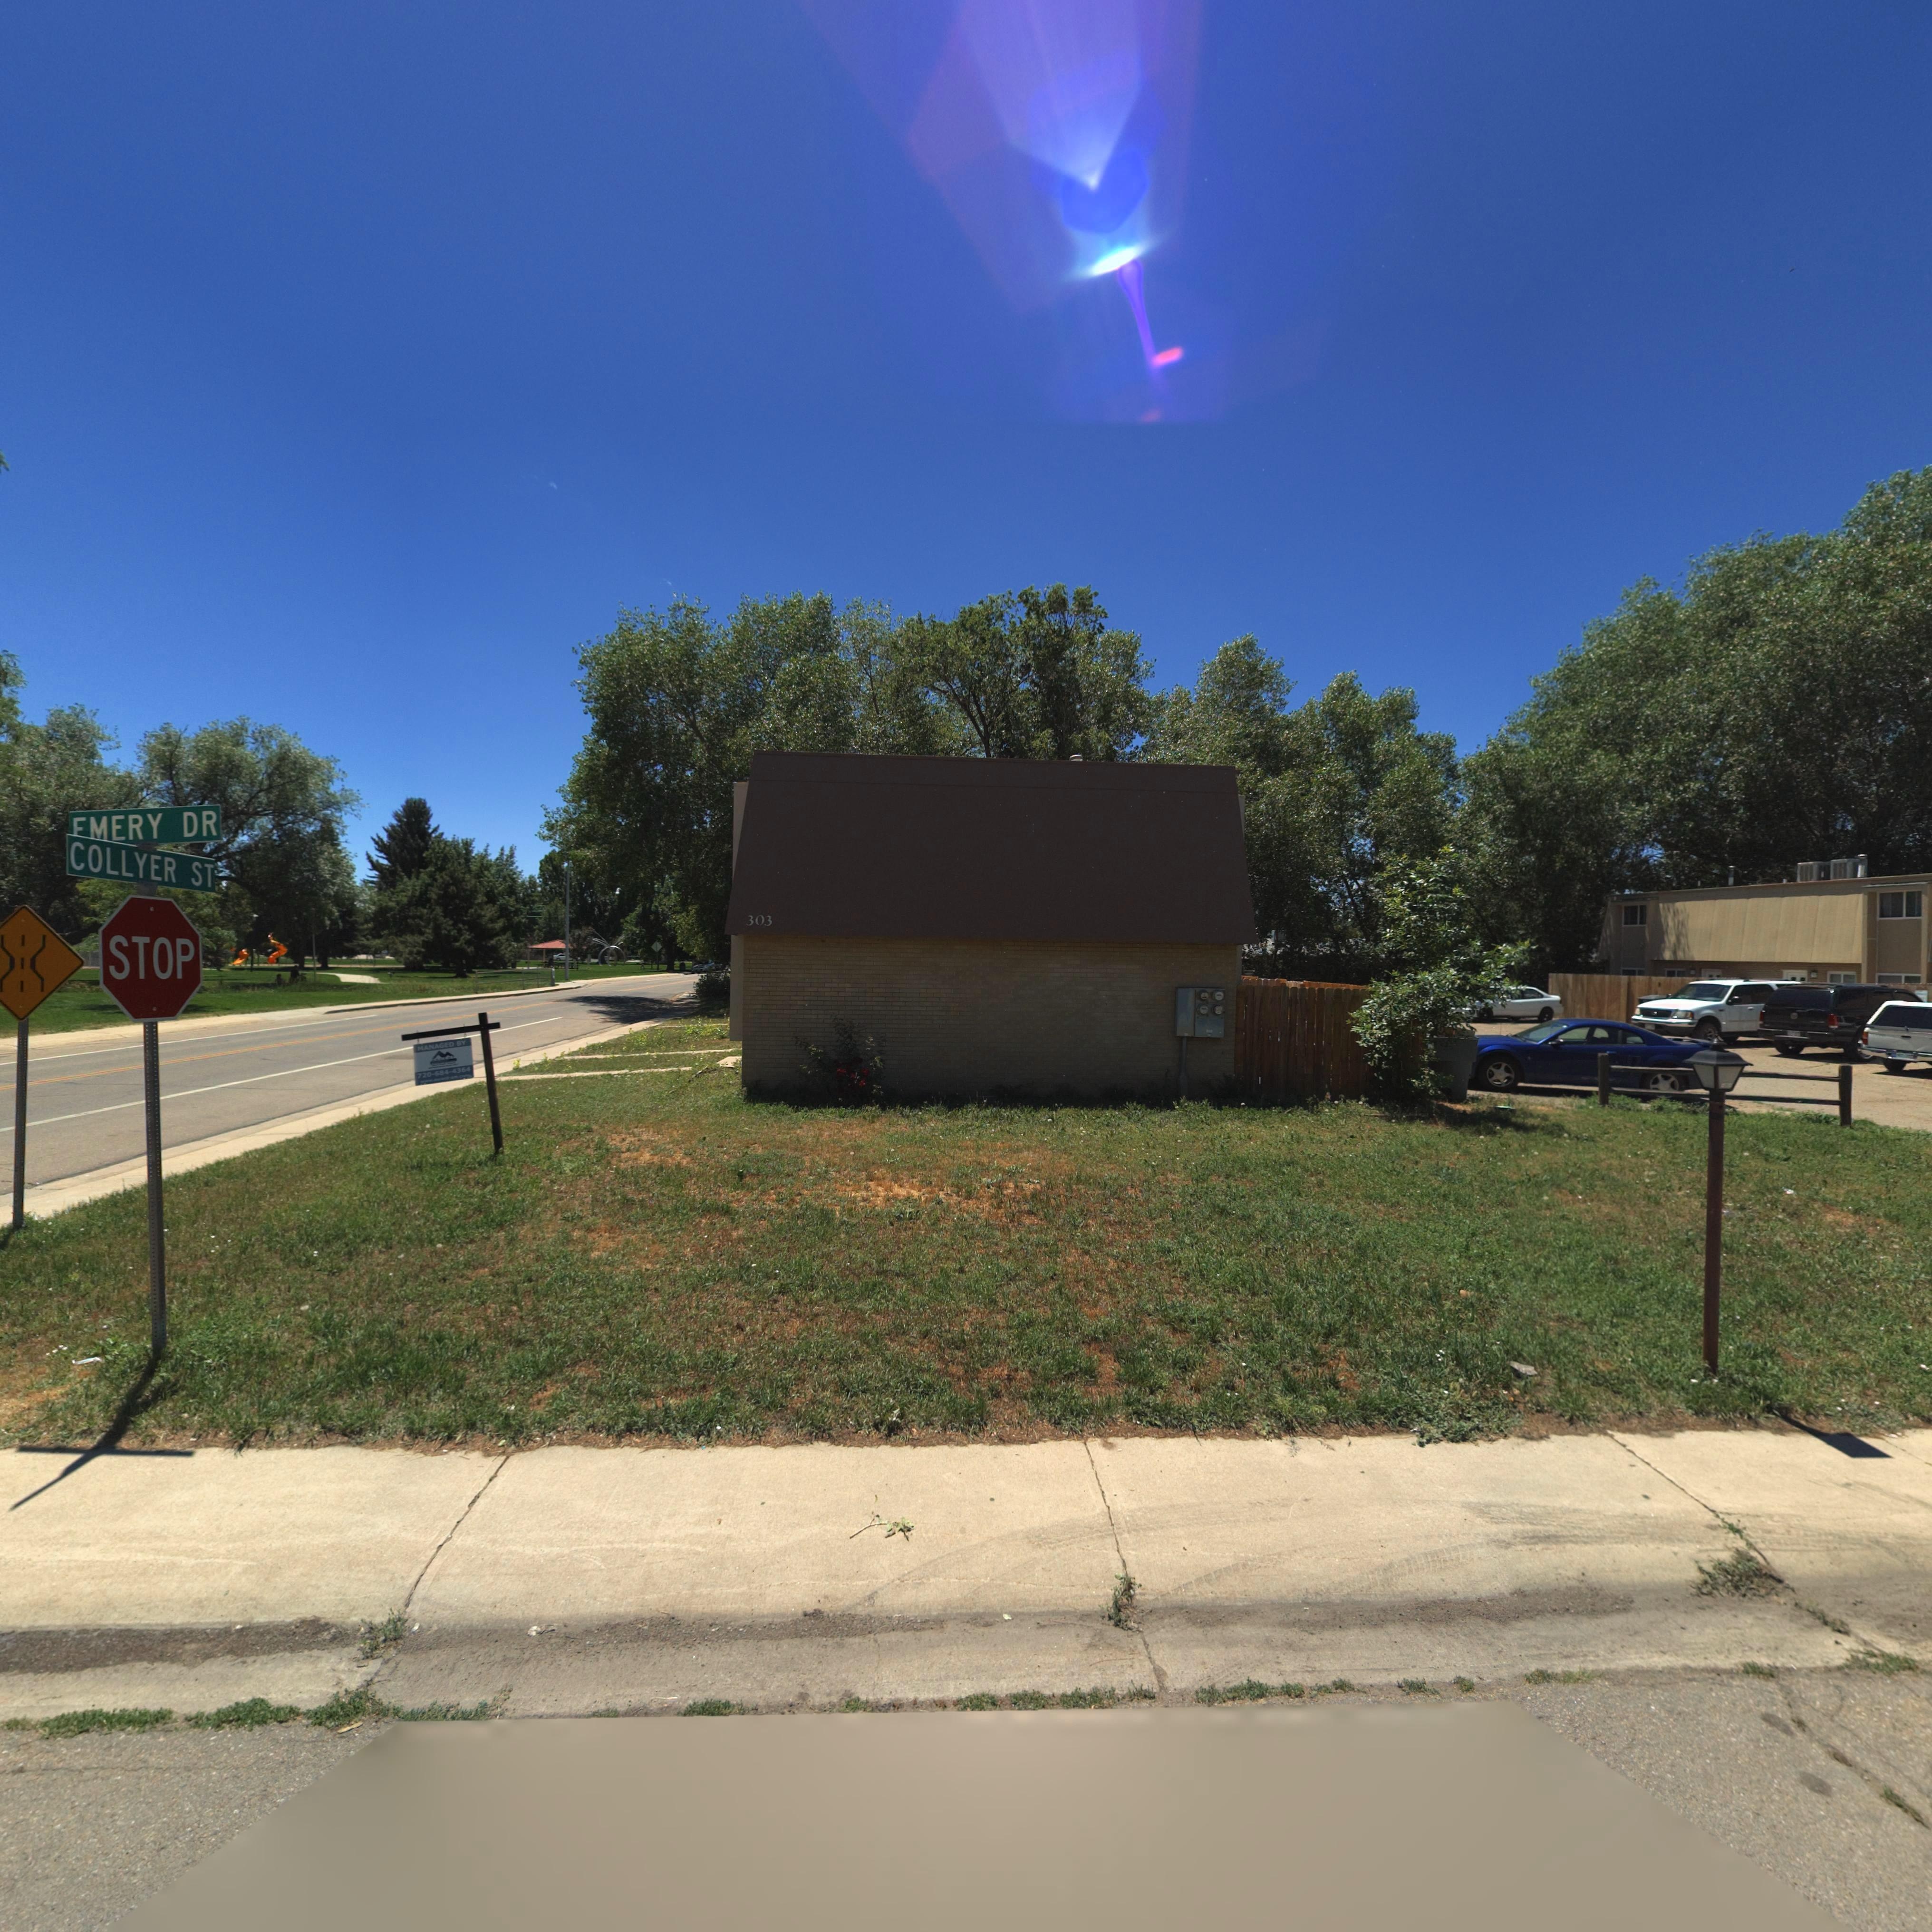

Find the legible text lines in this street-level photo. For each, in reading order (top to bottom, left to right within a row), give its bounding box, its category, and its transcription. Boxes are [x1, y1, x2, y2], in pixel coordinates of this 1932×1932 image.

[72, 809, 218, 842] StreetName: *MERY DR
[69, 840, 215, 889] StreetName: COLLYER ST
[744, 915, 772, 927] StreetNumber: 303